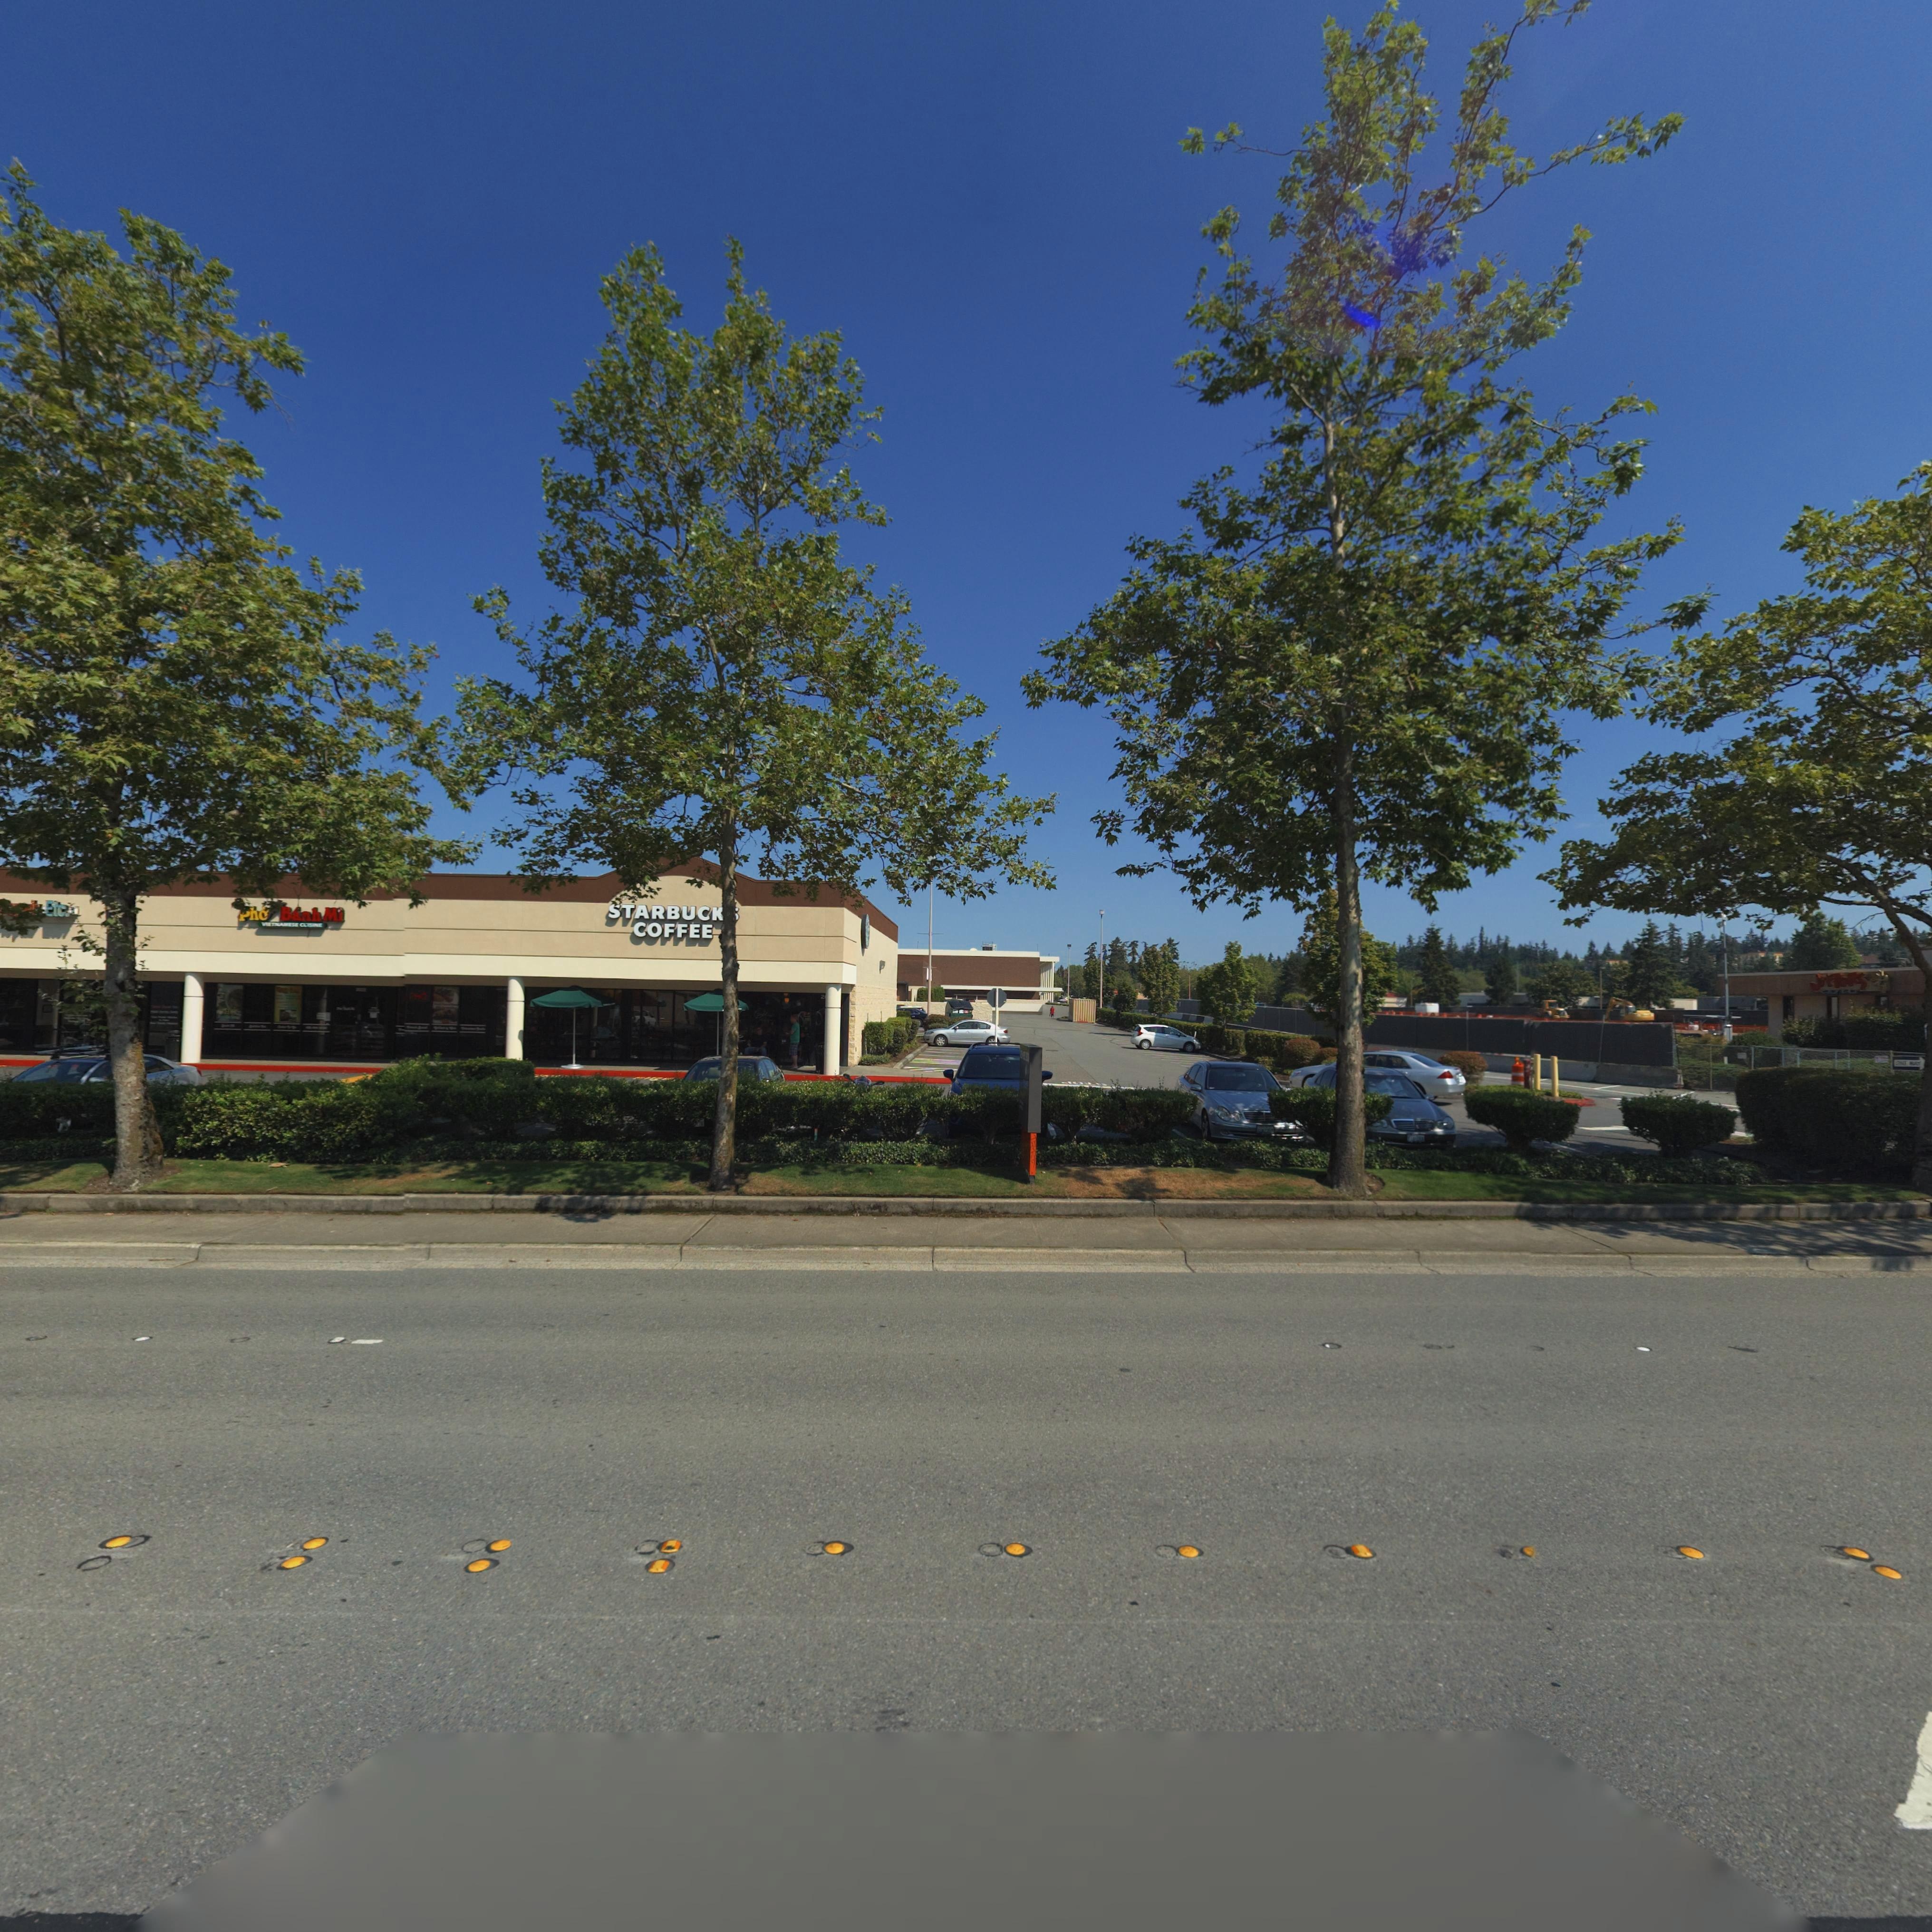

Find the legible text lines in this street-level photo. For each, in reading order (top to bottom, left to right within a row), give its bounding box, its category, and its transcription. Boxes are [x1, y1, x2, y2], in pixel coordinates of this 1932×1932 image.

[46, 899, 68, 917] BusinessName: Etc
[280, 905, 345, 922] BusinessName: B*nh Mi
[621, 904, 712, 922] BusinessName: TARBUC
[631, 920, 714, 939] BusinessName: COFFEE